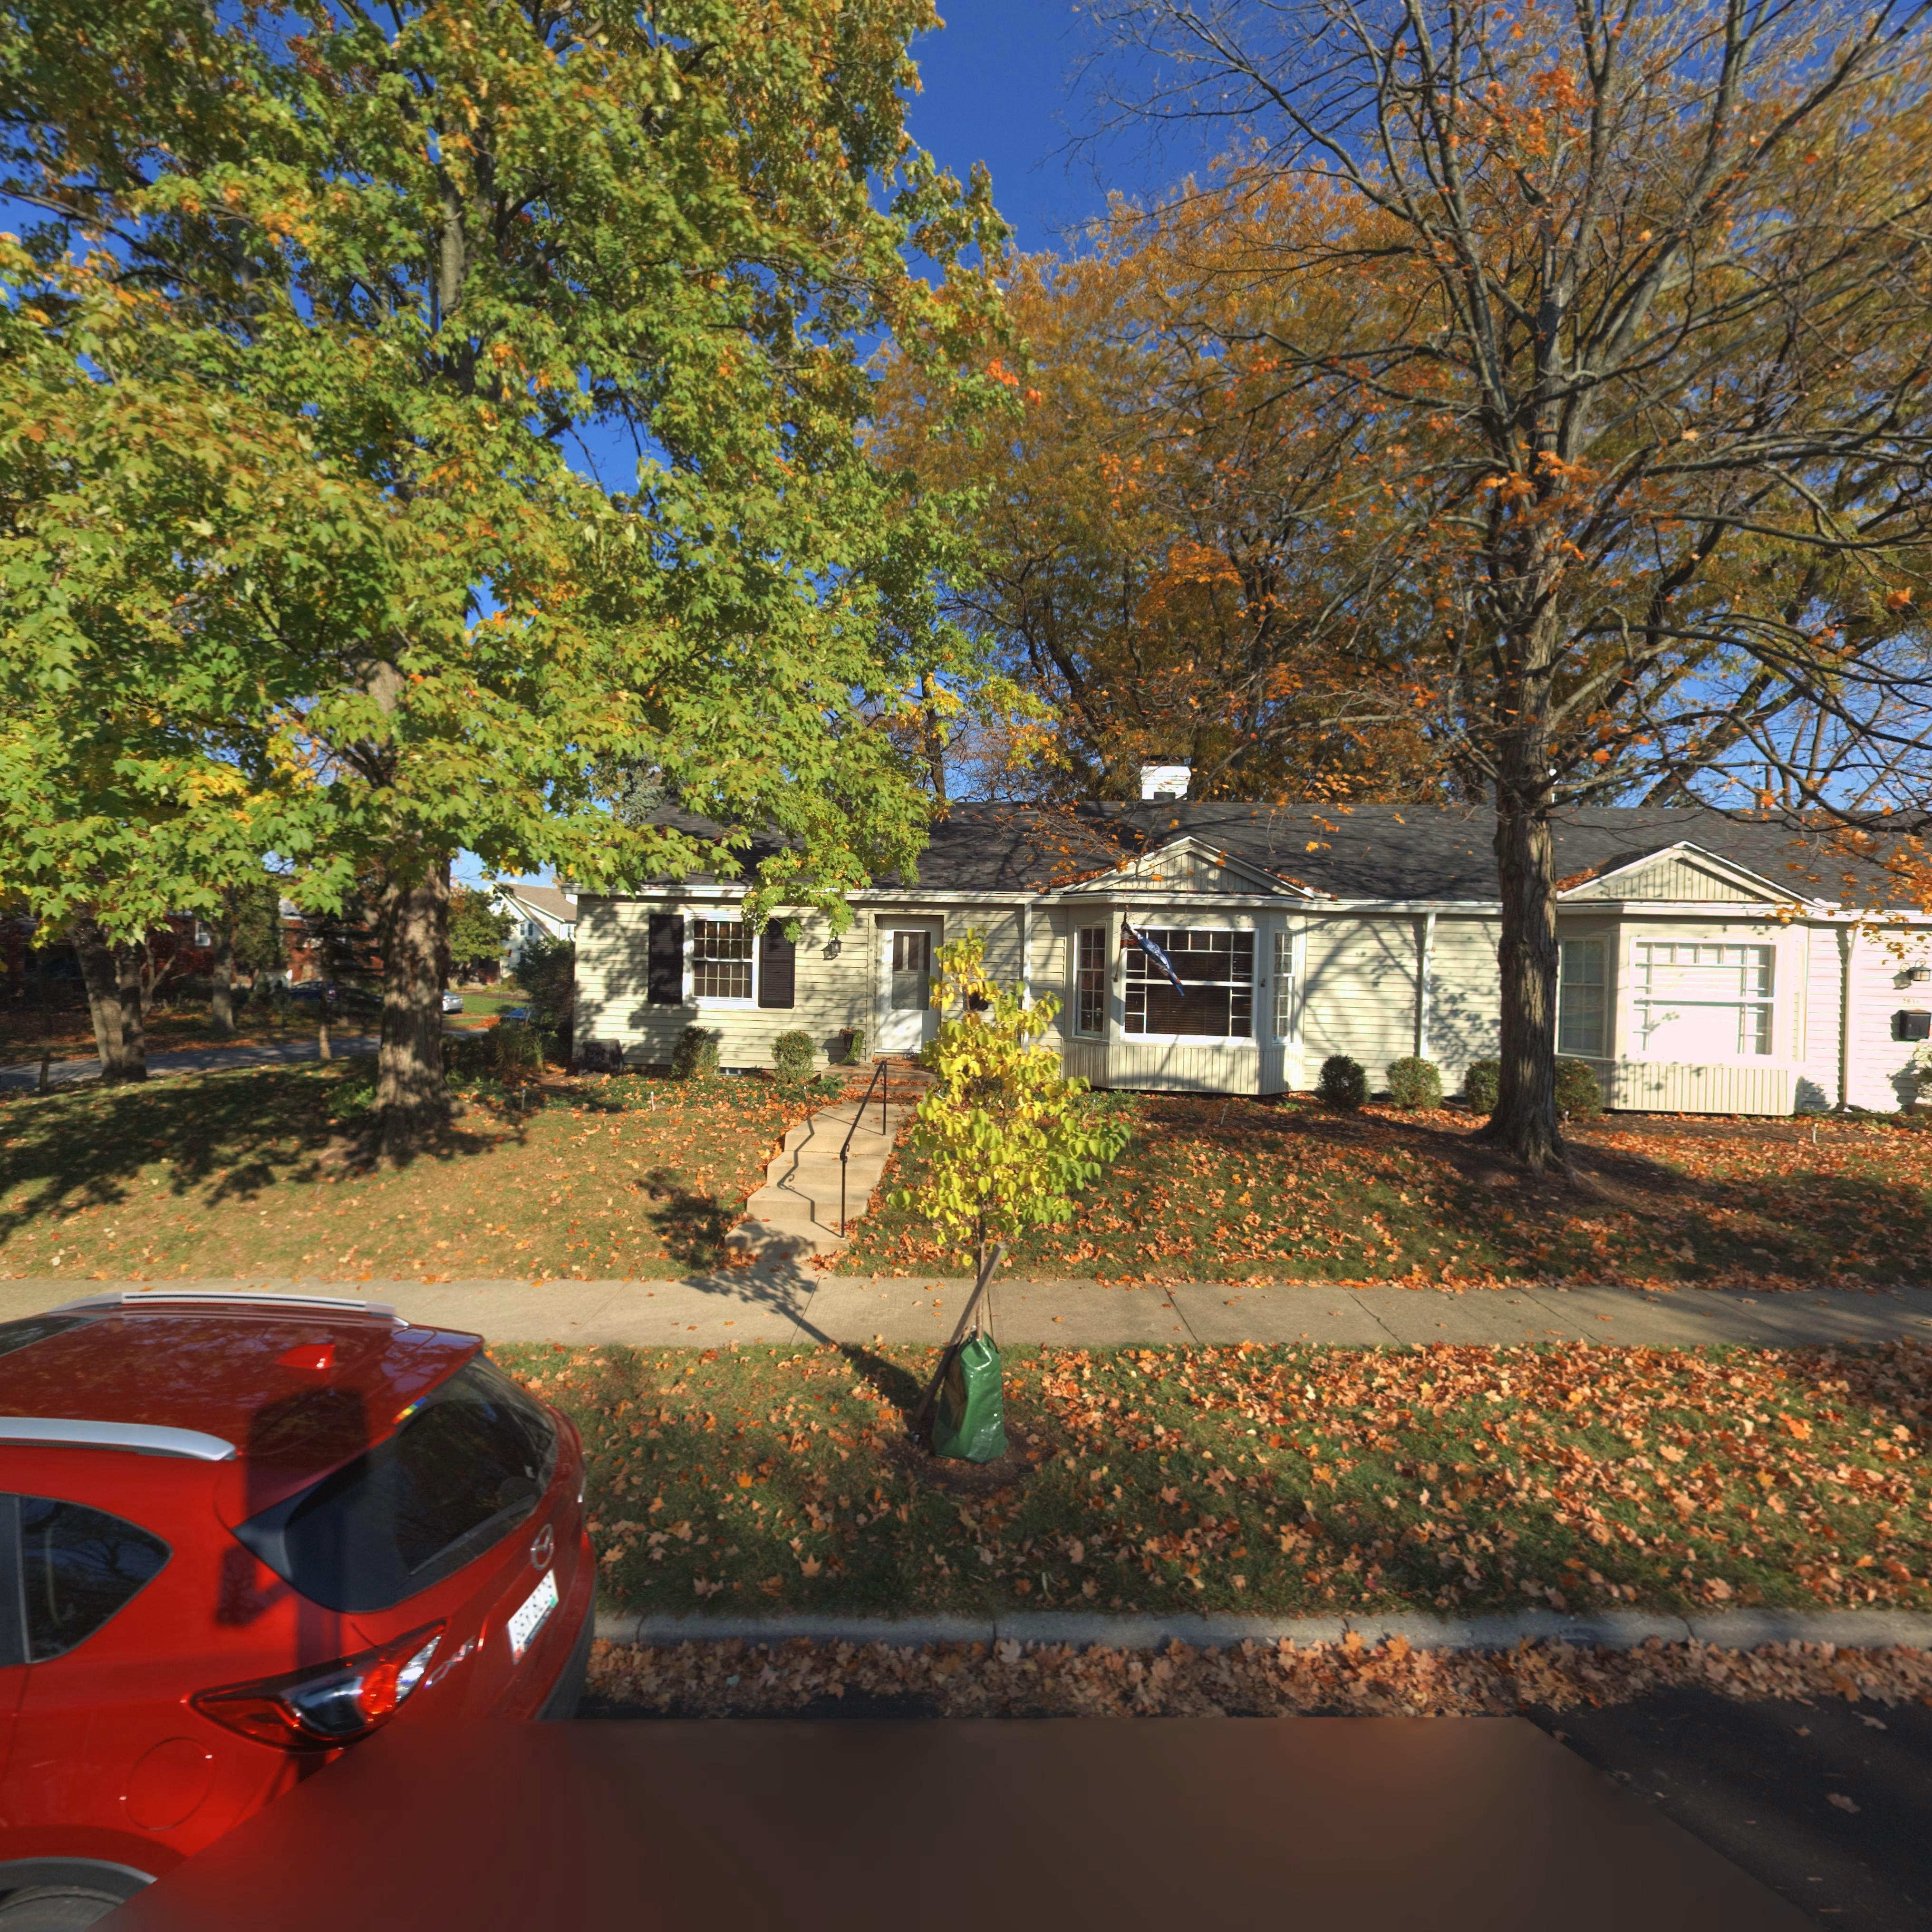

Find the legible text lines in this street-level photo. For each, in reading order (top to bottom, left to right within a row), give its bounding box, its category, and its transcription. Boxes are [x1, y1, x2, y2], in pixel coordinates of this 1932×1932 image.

[1901, 996, 1922, 1005] StreetNumber: *61*